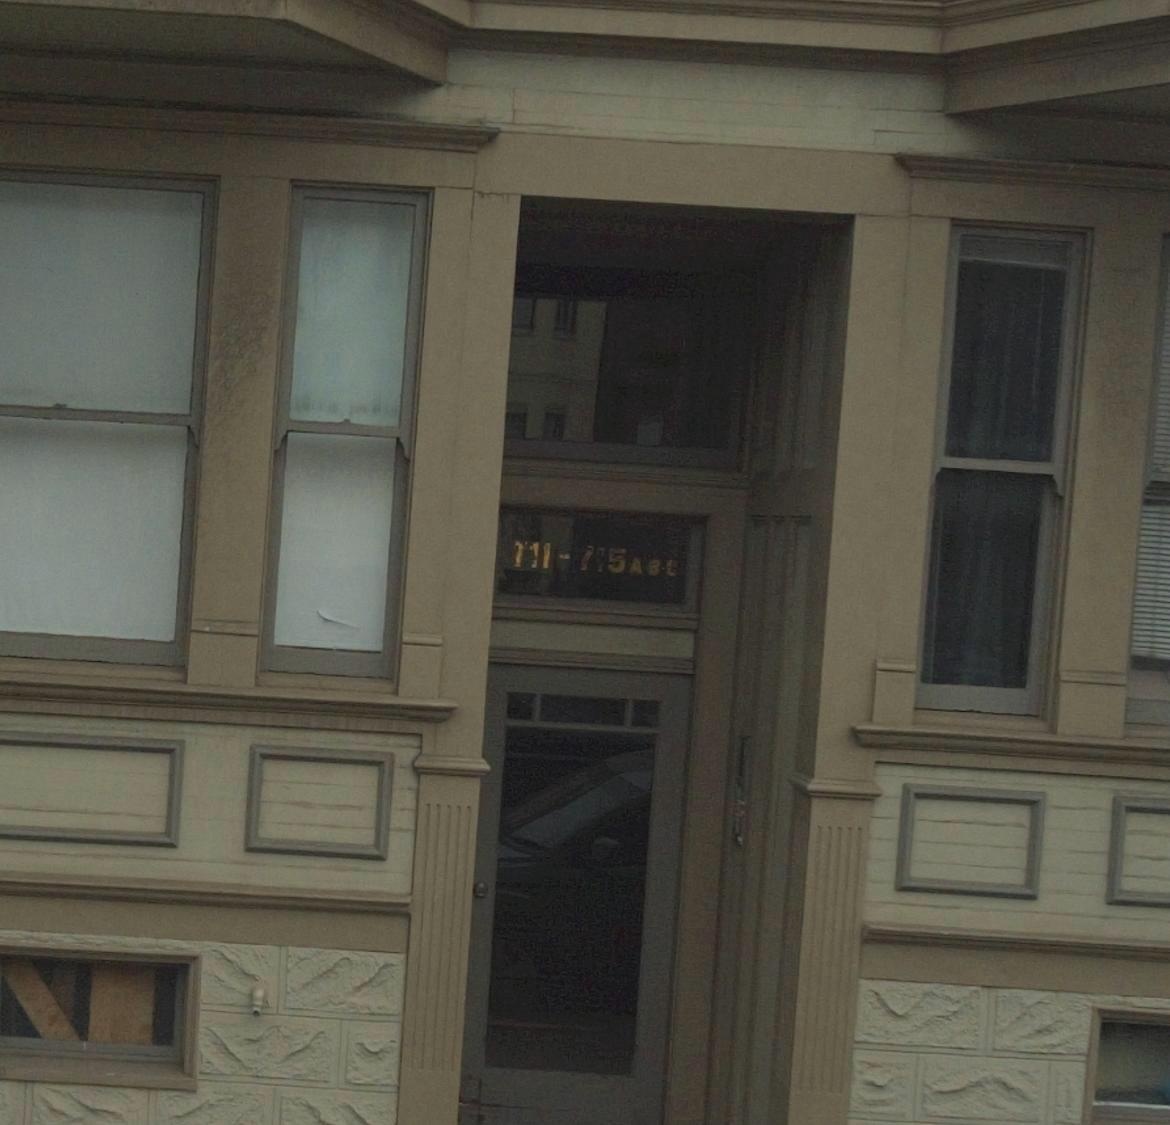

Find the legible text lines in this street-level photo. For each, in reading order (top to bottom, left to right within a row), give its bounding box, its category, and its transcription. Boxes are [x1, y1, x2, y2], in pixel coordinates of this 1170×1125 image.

[509, 539, 553, 571] StreetNumber: 711
[572, 544, 679, 577] StreetNumber: 715ABC